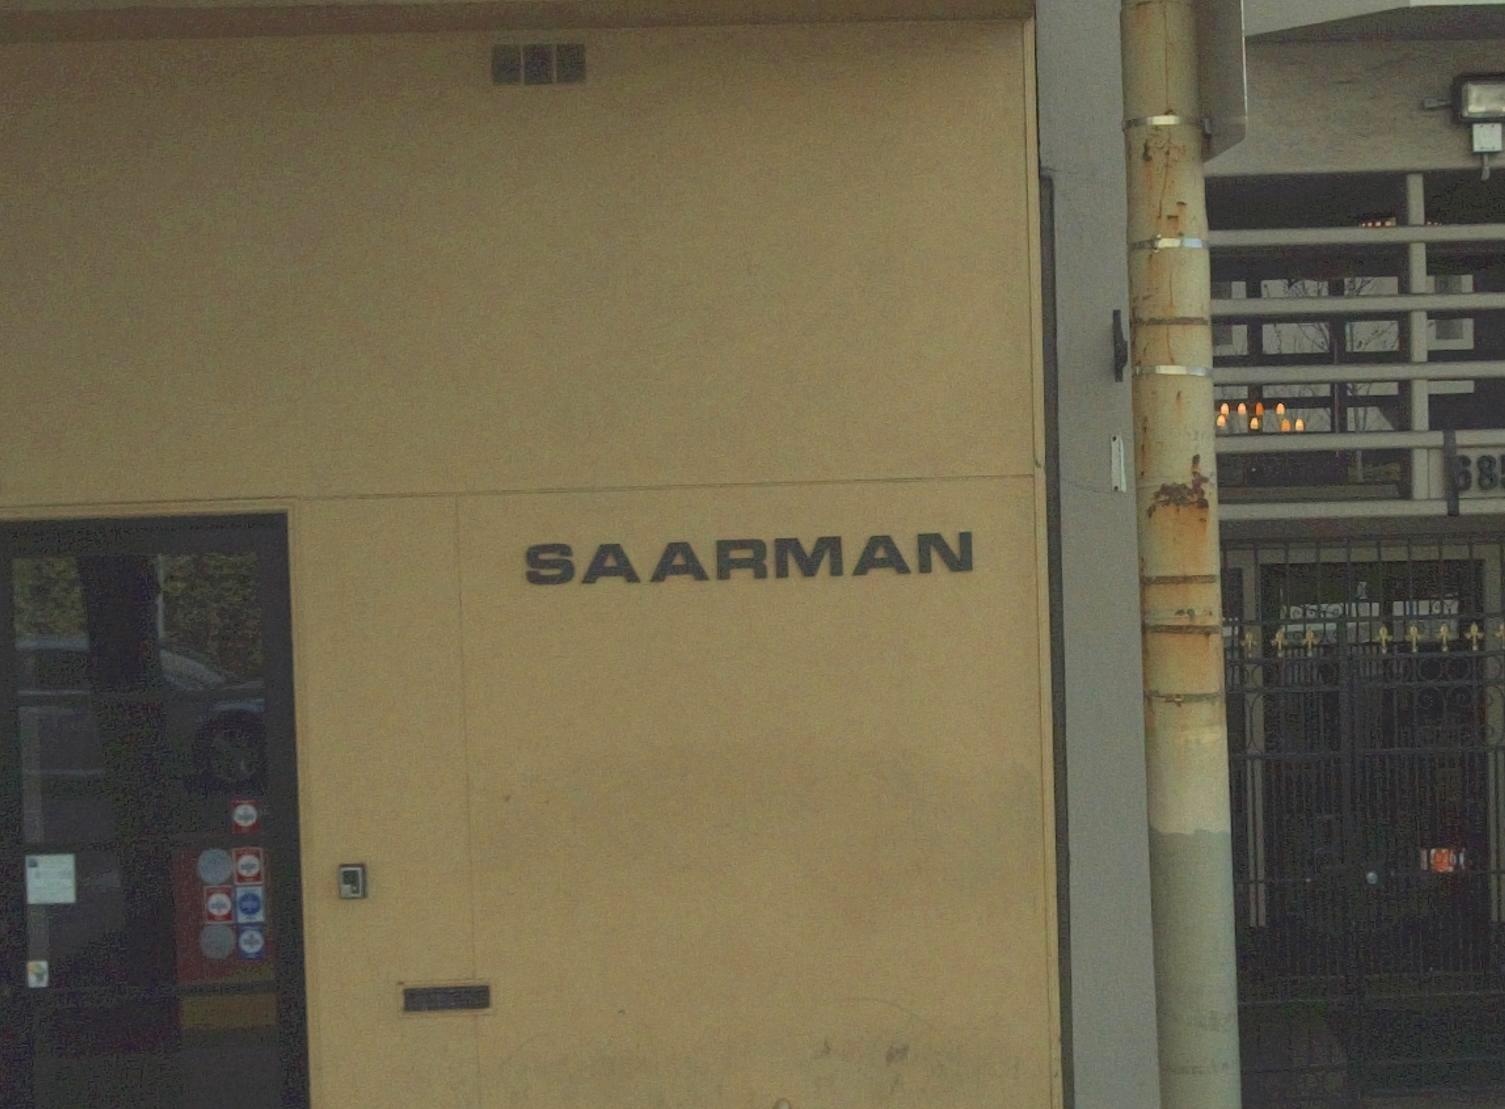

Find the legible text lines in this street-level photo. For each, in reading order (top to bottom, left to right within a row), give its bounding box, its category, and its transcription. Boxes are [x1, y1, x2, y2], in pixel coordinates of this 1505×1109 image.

[1453, 451, 1502, 494] StreetNumber: 68
[522, 530, 975, 588] BusinessName: SAARMAN